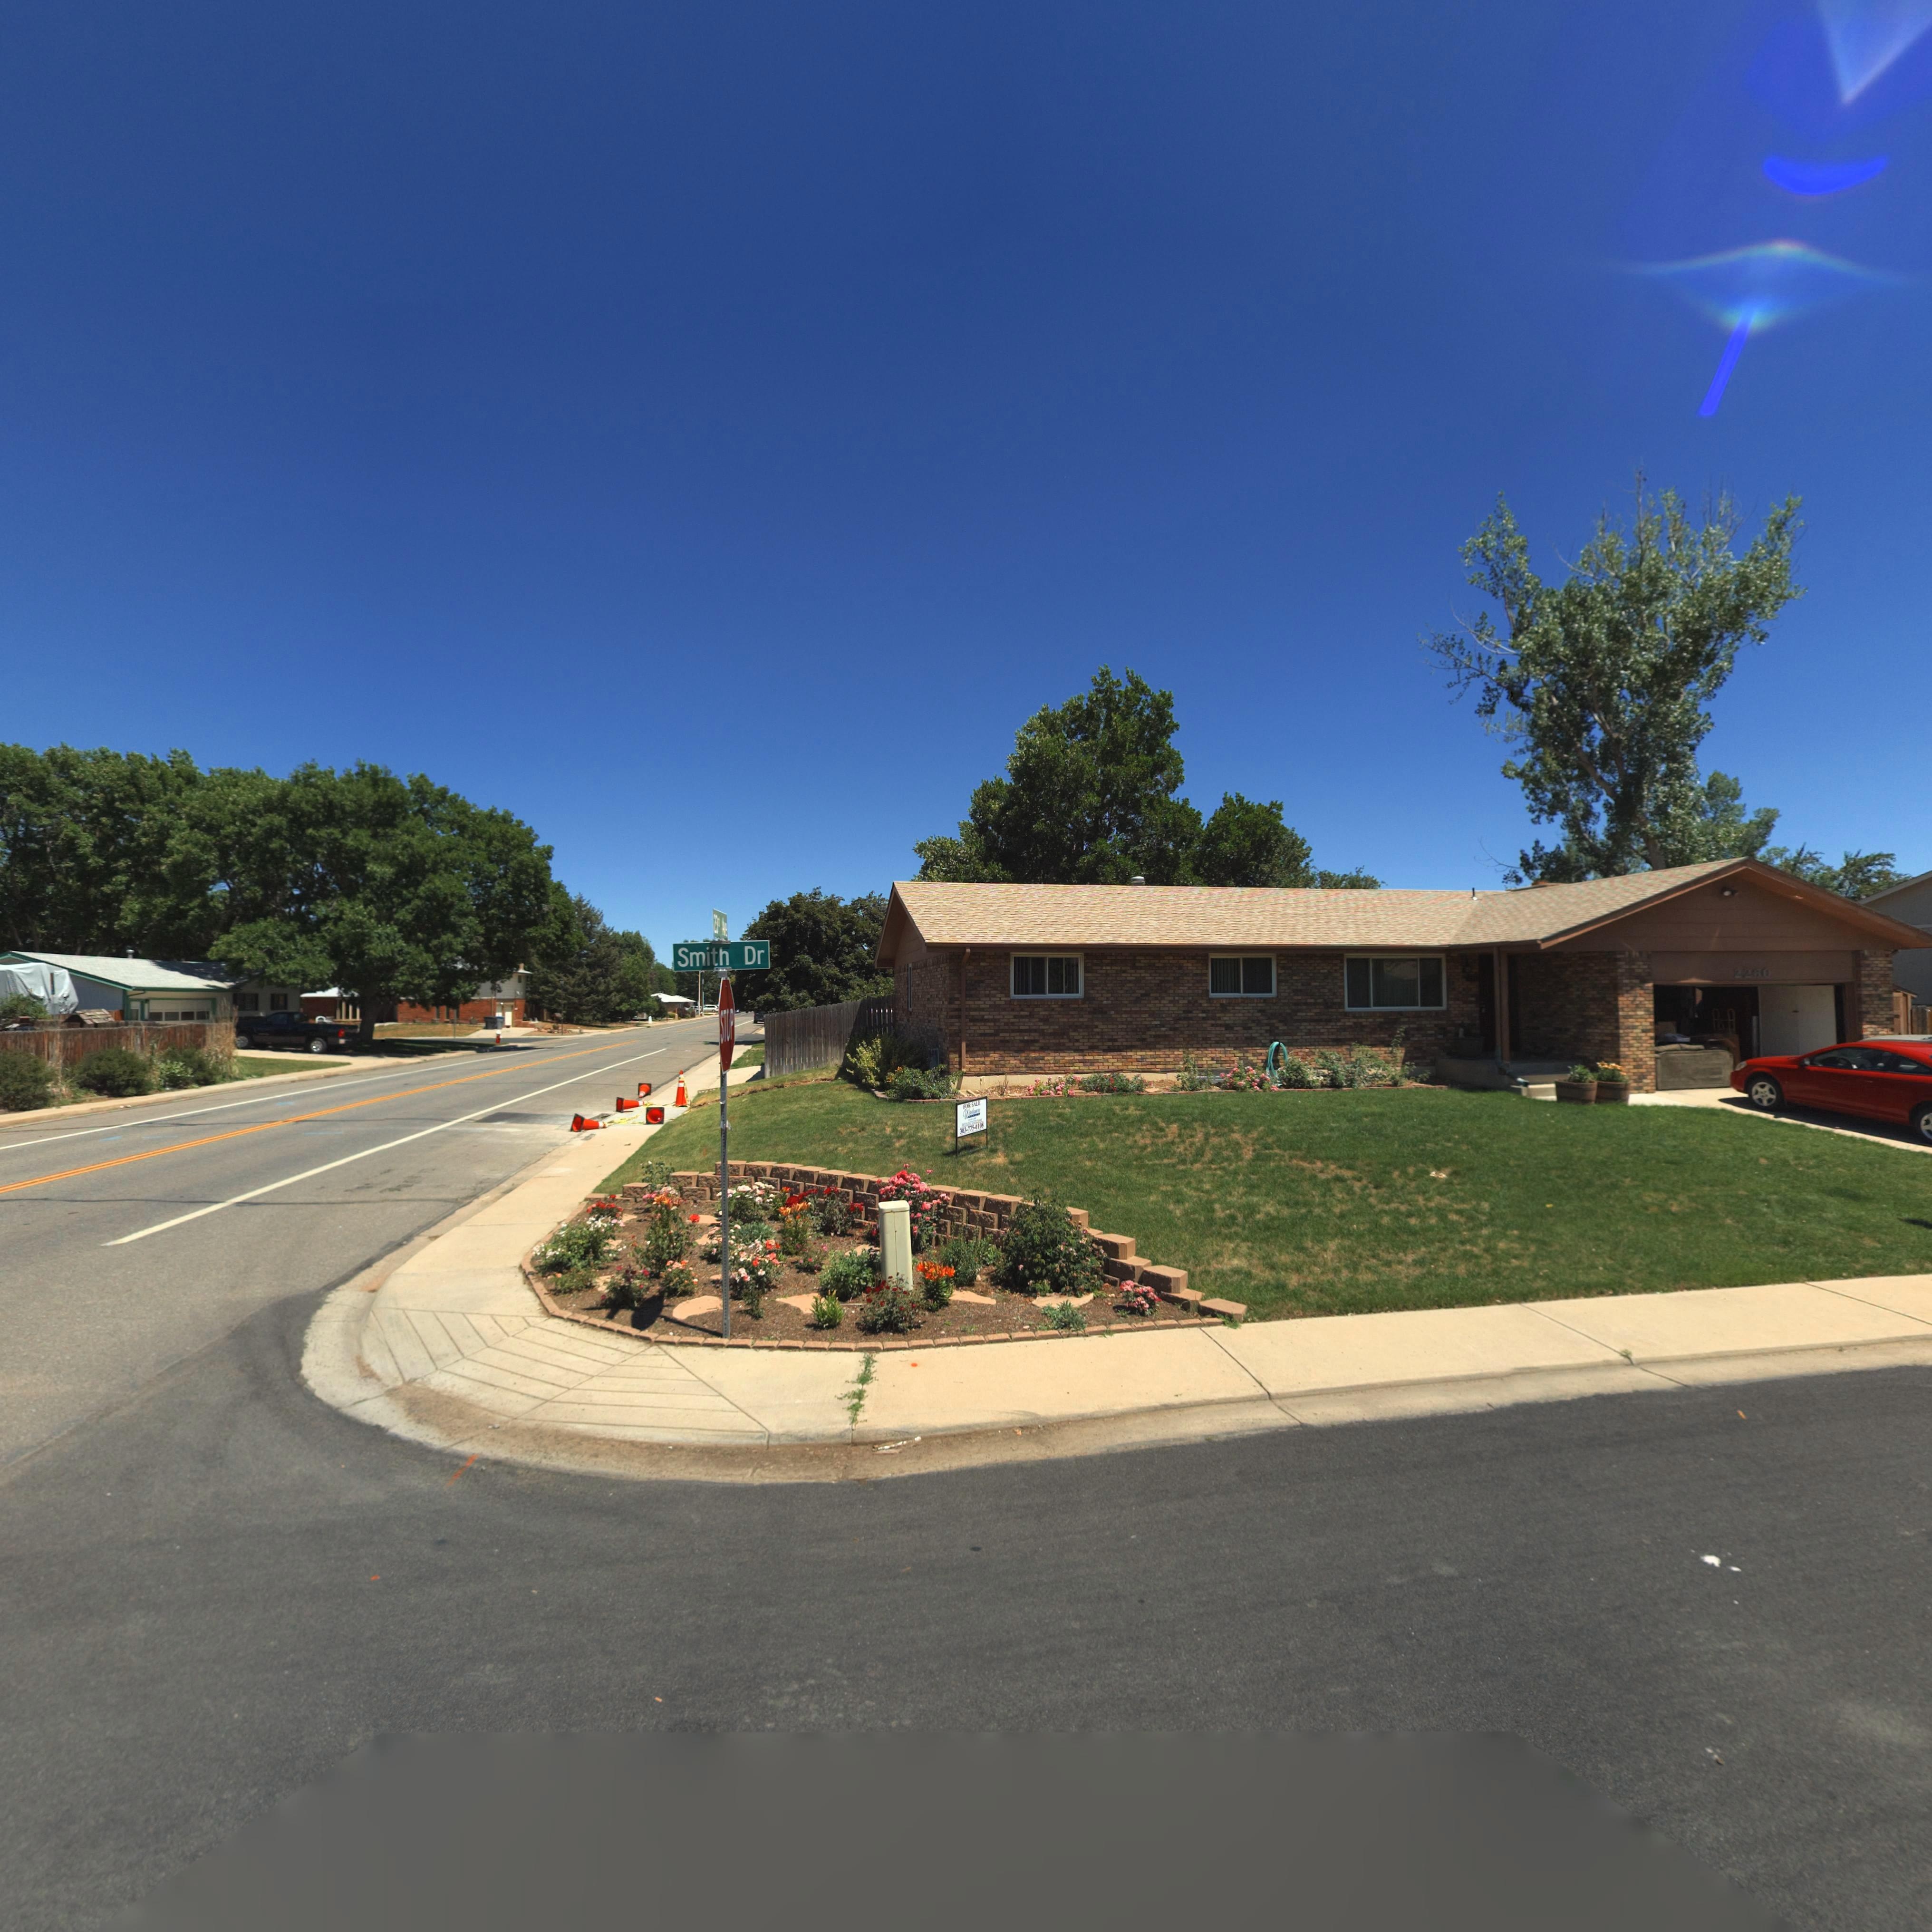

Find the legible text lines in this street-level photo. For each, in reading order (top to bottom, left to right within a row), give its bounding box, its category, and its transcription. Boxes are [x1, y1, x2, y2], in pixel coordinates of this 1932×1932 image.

[713, 913, 727, 937] StreetName: 23** A**
[676, 945, 765, 968] StreetName: Smith Dr
[1733, 968, 1772, 978] StreetName: 2260